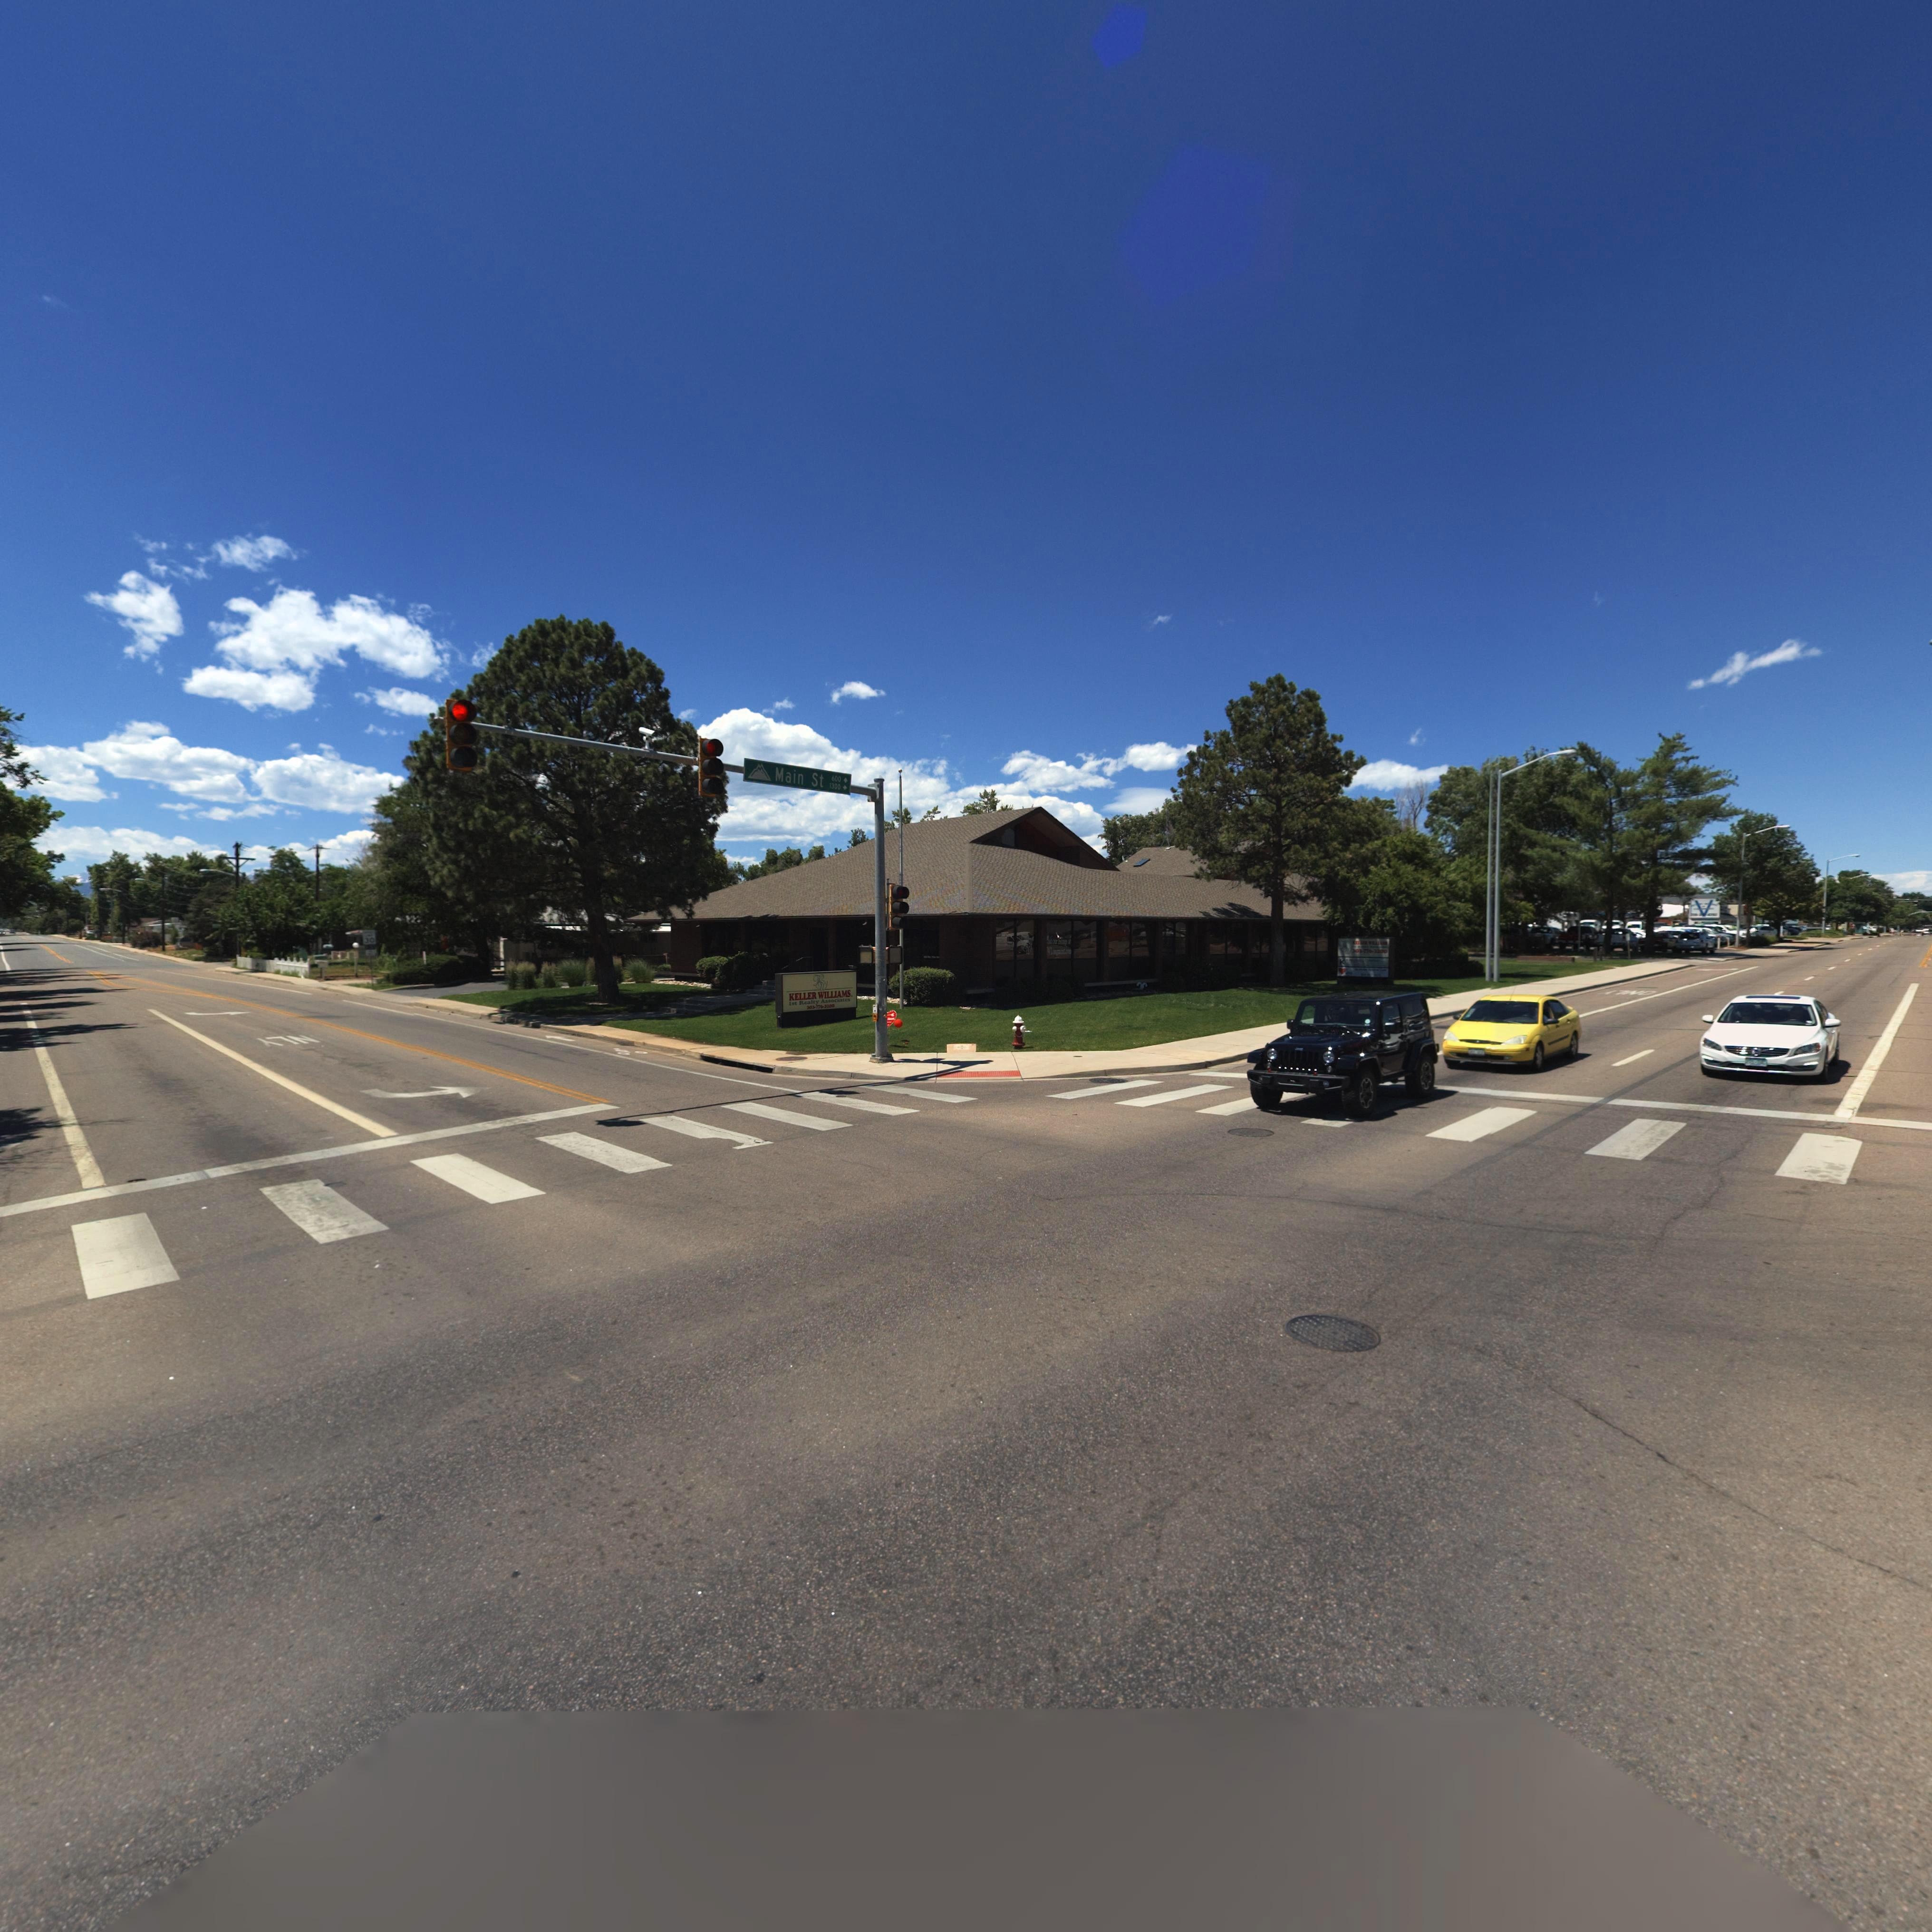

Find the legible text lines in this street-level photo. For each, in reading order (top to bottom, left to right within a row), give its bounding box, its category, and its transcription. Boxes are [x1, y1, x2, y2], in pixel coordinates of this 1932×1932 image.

[775, 766, 824, 788] StreetName: Main St
[831, 775, 841, 782] StreetNumberRange: 600
[829, 782, 848, 790] StreetNumberRange: 1300 ->
[1352, 940, 1387, 945] BusinessName: KELLER WILLIAMS
[788, 989, 851, 1001] BusinessName: KELLER WILLIAMS
[789, 997, 850, 1005] BusinessName: 1st Realty Associates